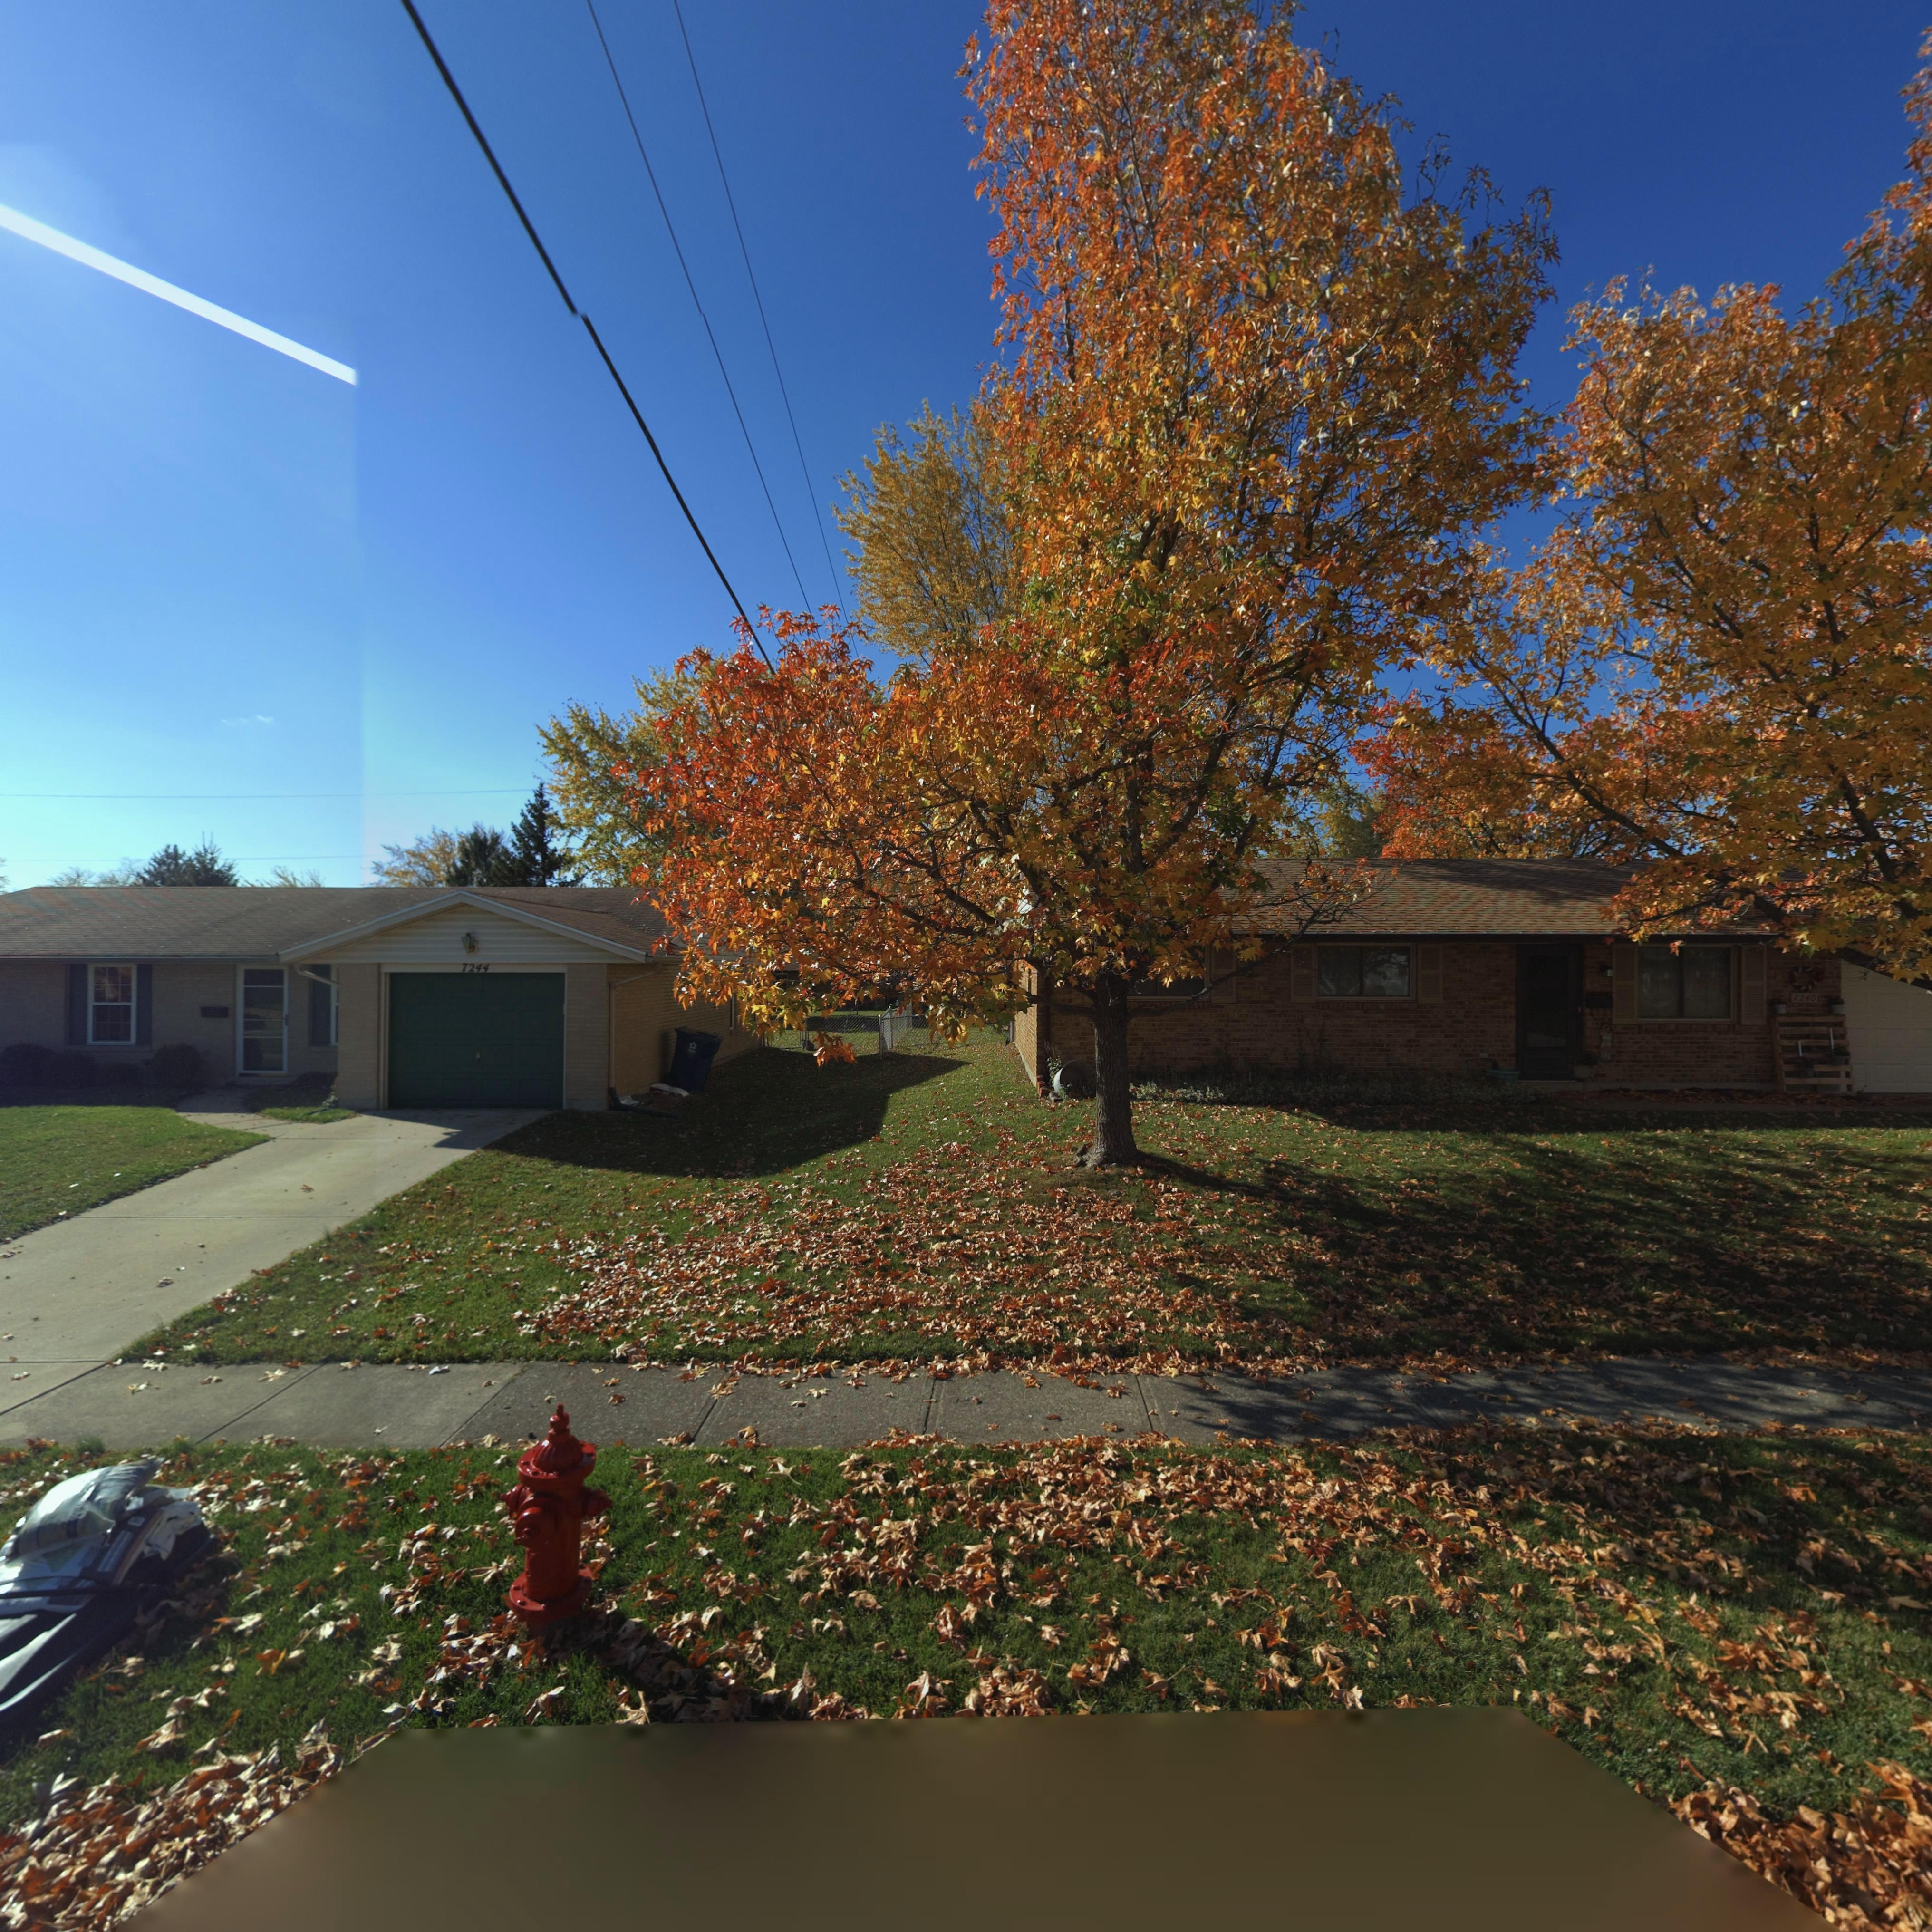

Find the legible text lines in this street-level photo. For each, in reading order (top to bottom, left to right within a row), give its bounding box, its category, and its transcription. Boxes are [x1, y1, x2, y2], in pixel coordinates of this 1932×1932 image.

[461, 962, 491, 974] StreetNumber: 7244
[1792, 993, 1816, 1003] StreetNumber: 7240